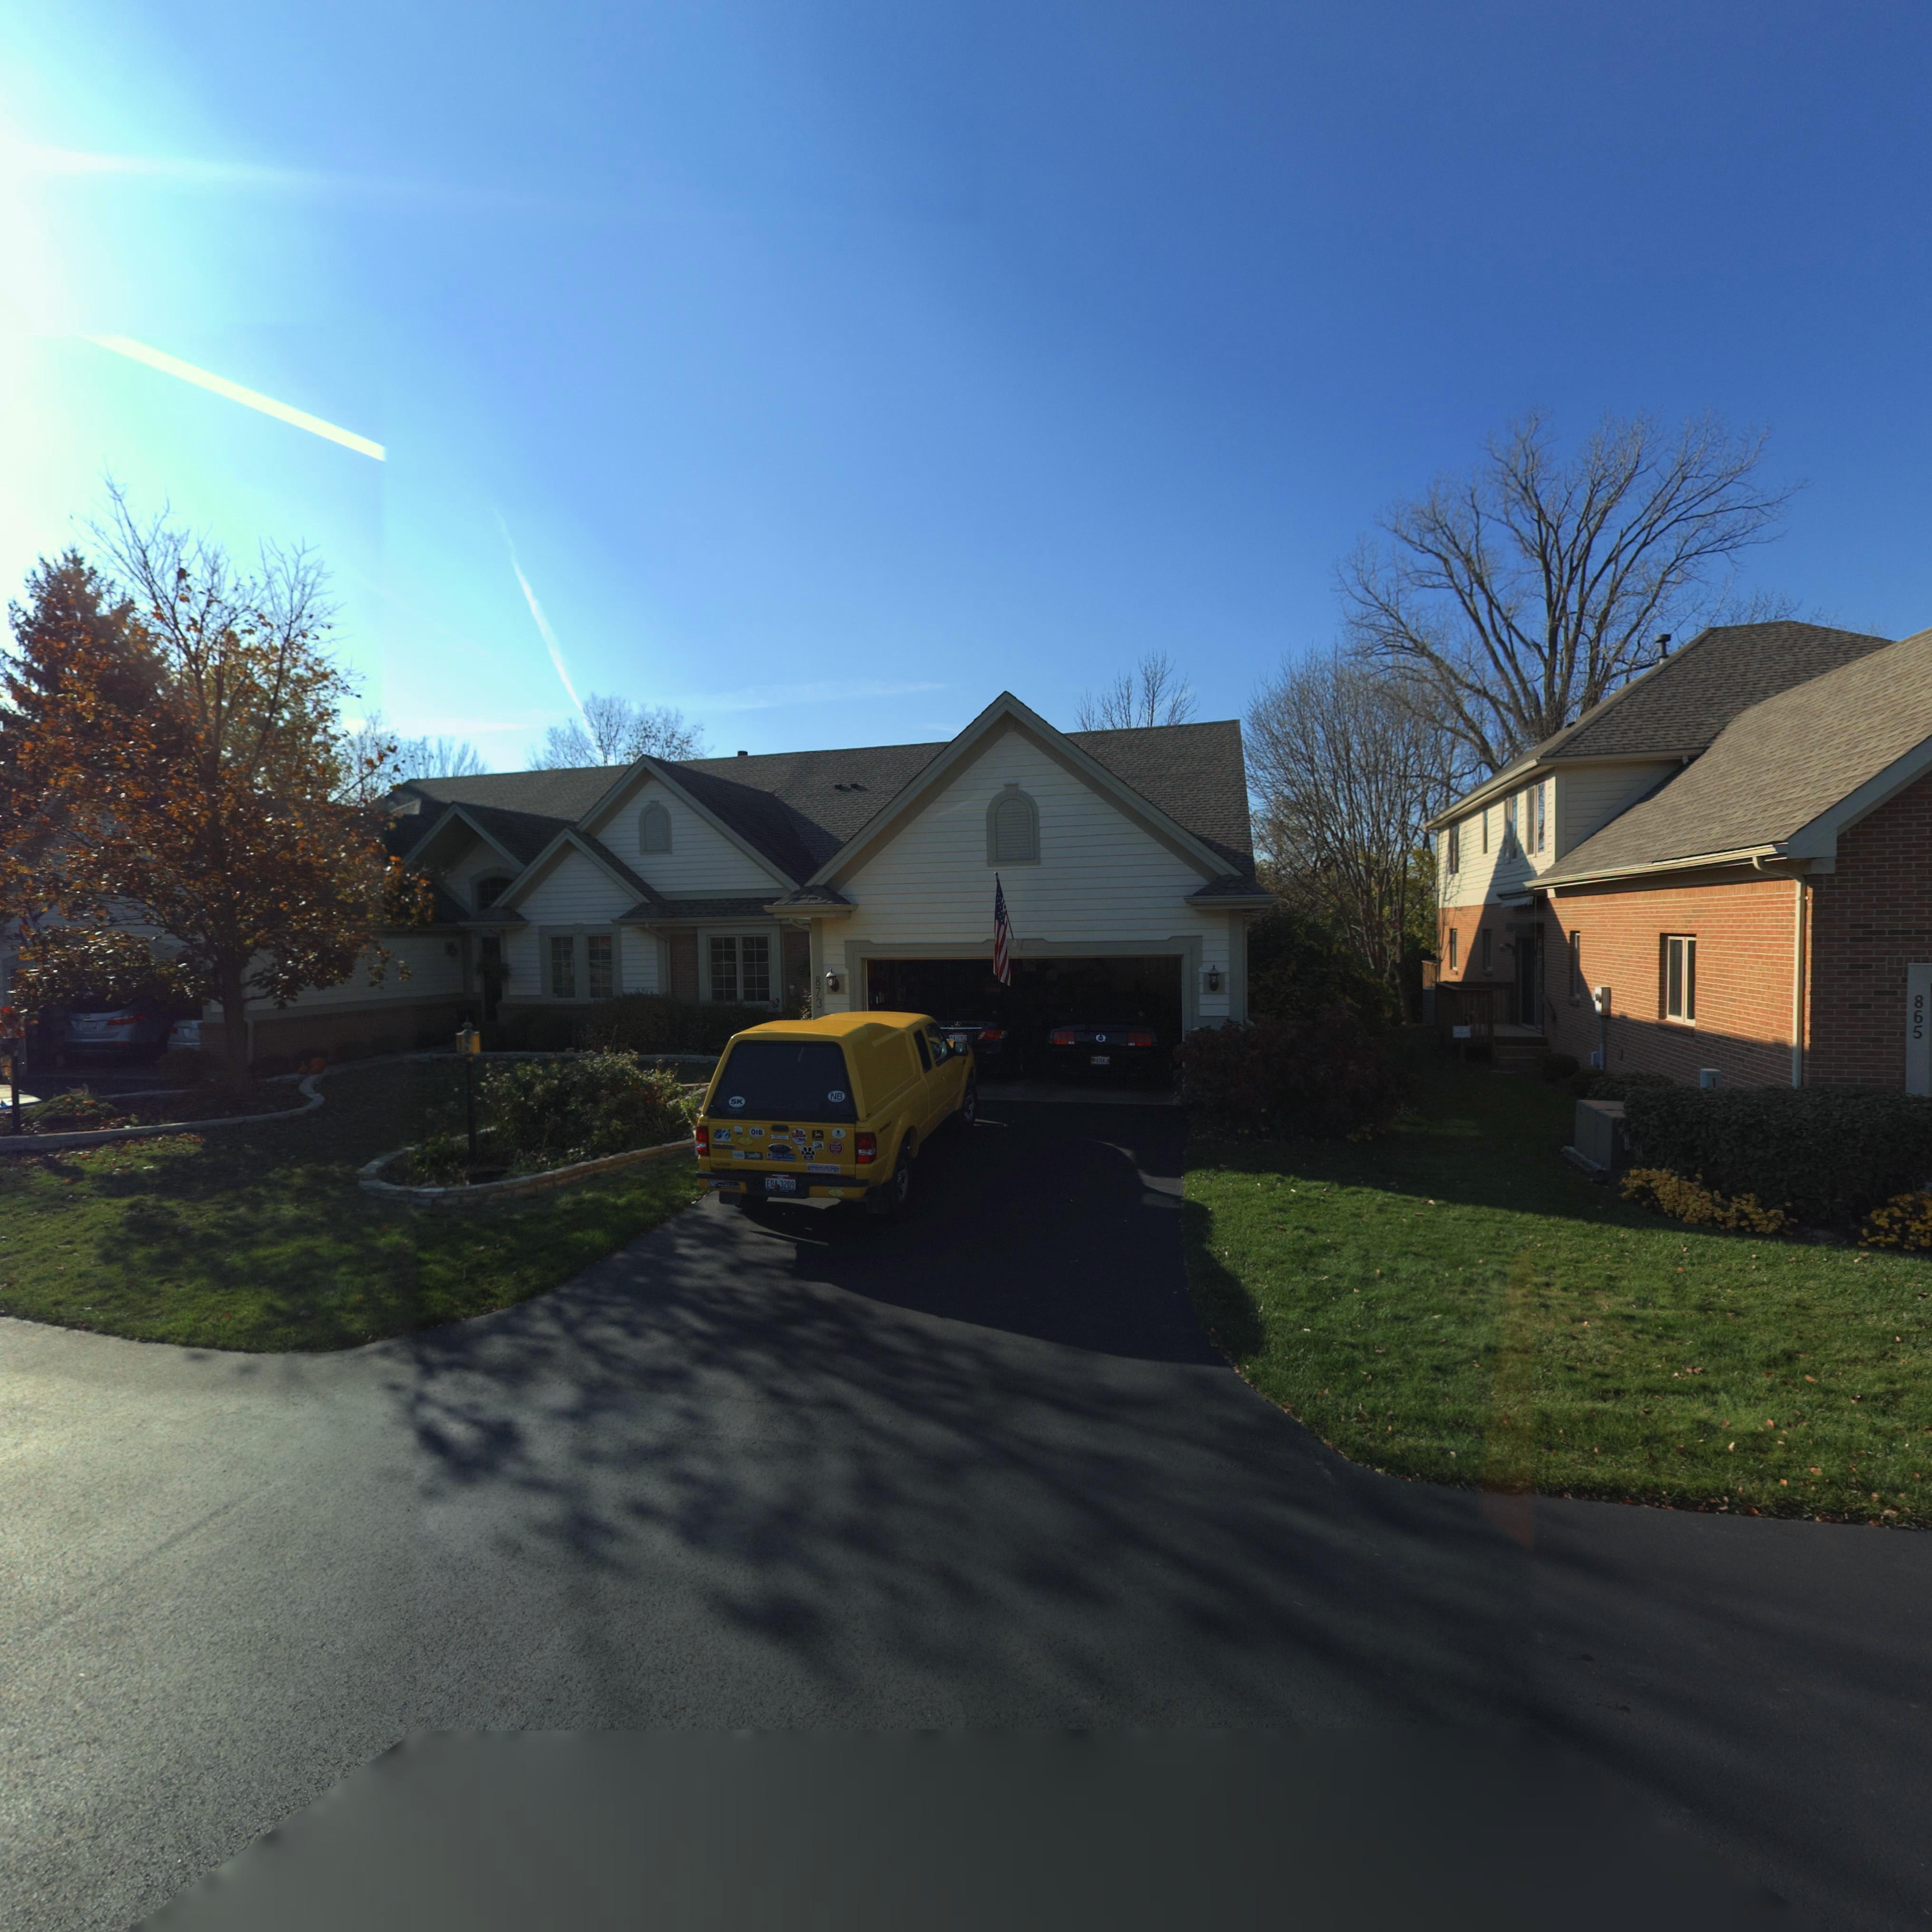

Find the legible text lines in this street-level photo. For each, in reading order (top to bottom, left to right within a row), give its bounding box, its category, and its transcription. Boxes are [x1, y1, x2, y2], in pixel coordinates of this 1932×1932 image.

[814, 975, 823, 1010] StreetNumber: 873
[1911, 993, 1925, 1041] StreetNumber: 865